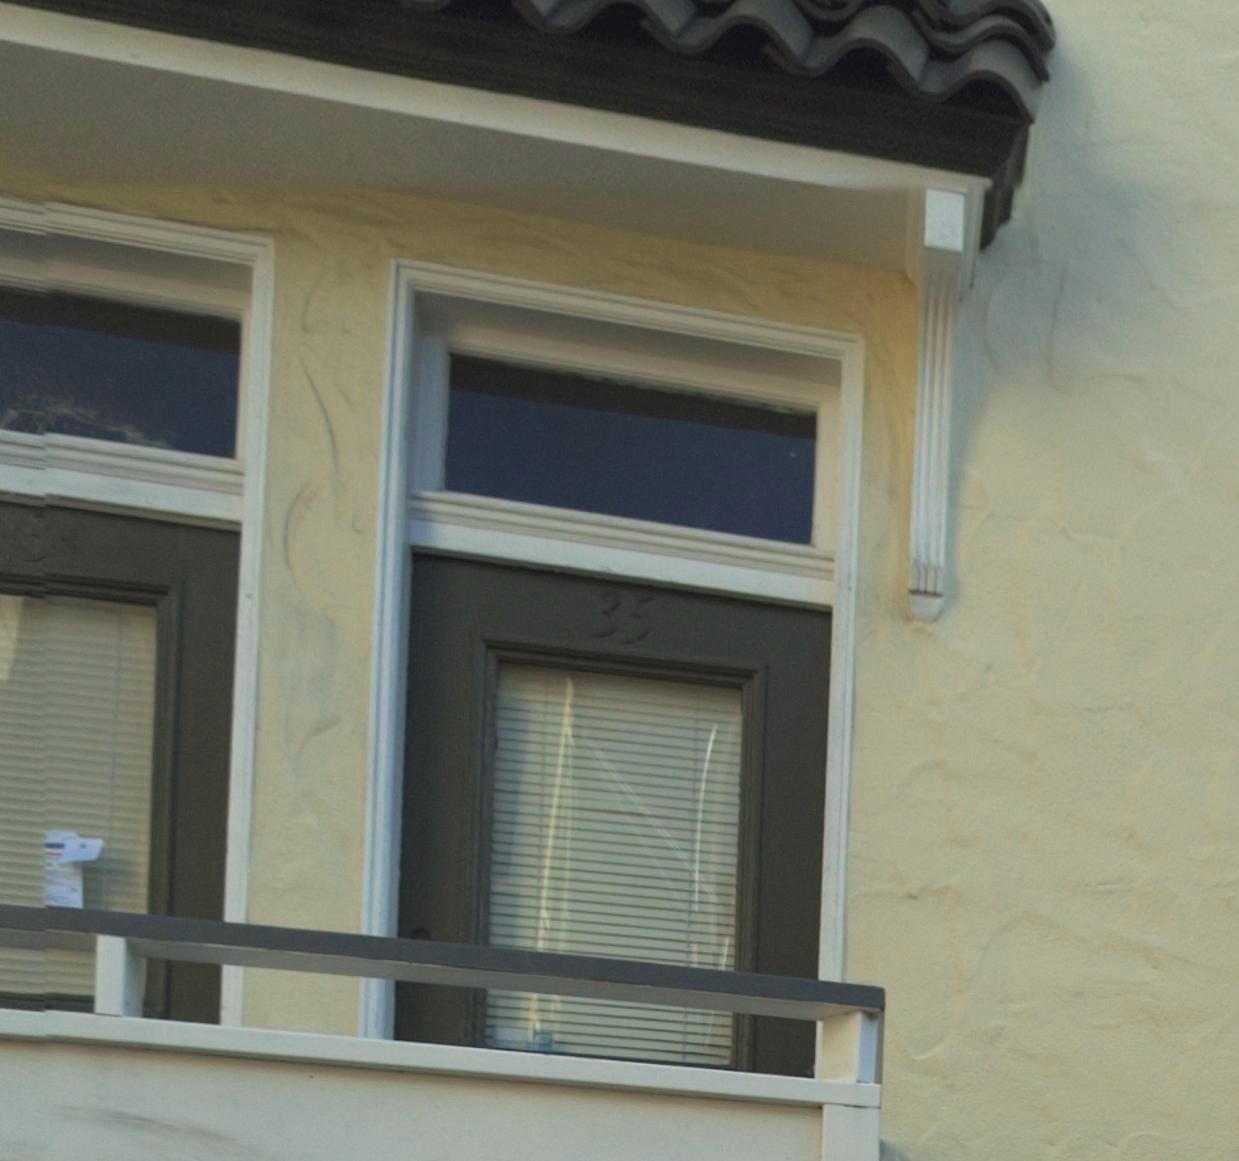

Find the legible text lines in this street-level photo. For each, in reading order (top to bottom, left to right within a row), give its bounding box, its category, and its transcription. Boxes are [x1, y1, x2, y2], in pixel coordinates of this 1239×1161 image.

[583, 585, 660, 649] StreetNumber: 35